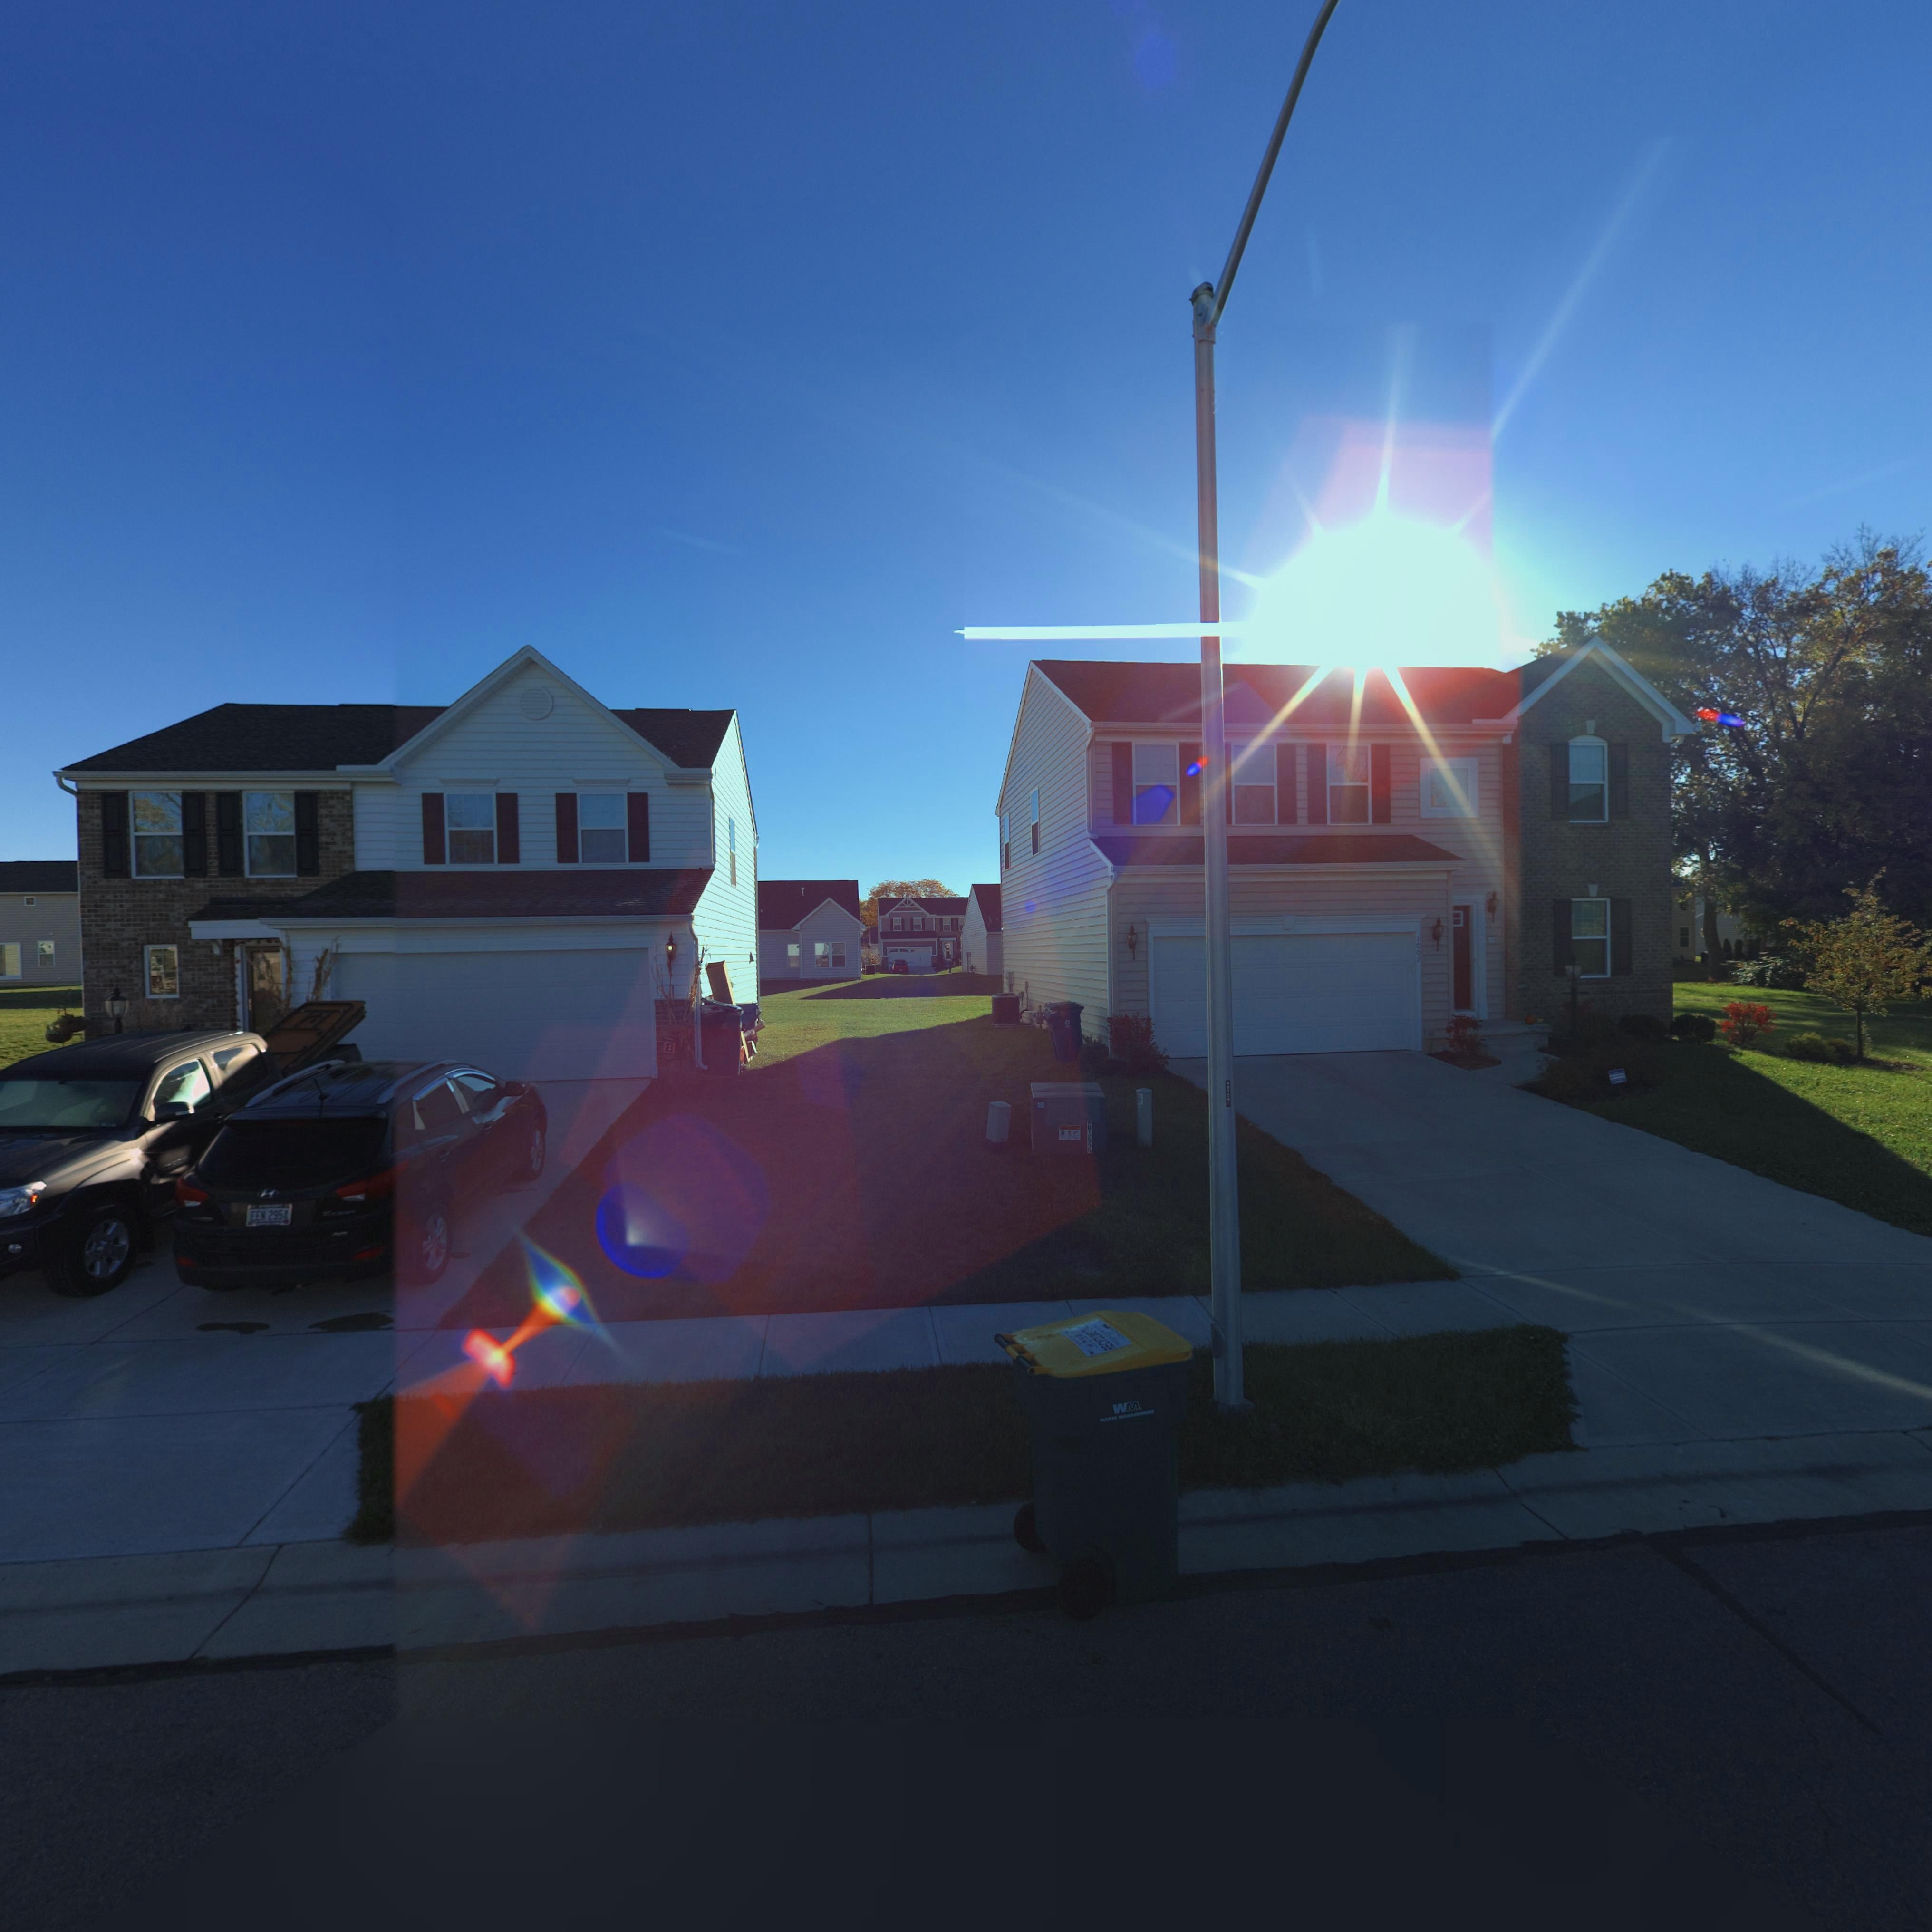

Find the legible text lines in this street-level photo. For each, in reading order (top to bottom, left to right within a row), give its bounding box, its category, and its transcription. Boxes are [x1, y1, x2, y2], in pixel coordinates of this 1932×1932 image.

[1415, 934, 1421, 964] StreetNumber: 1007